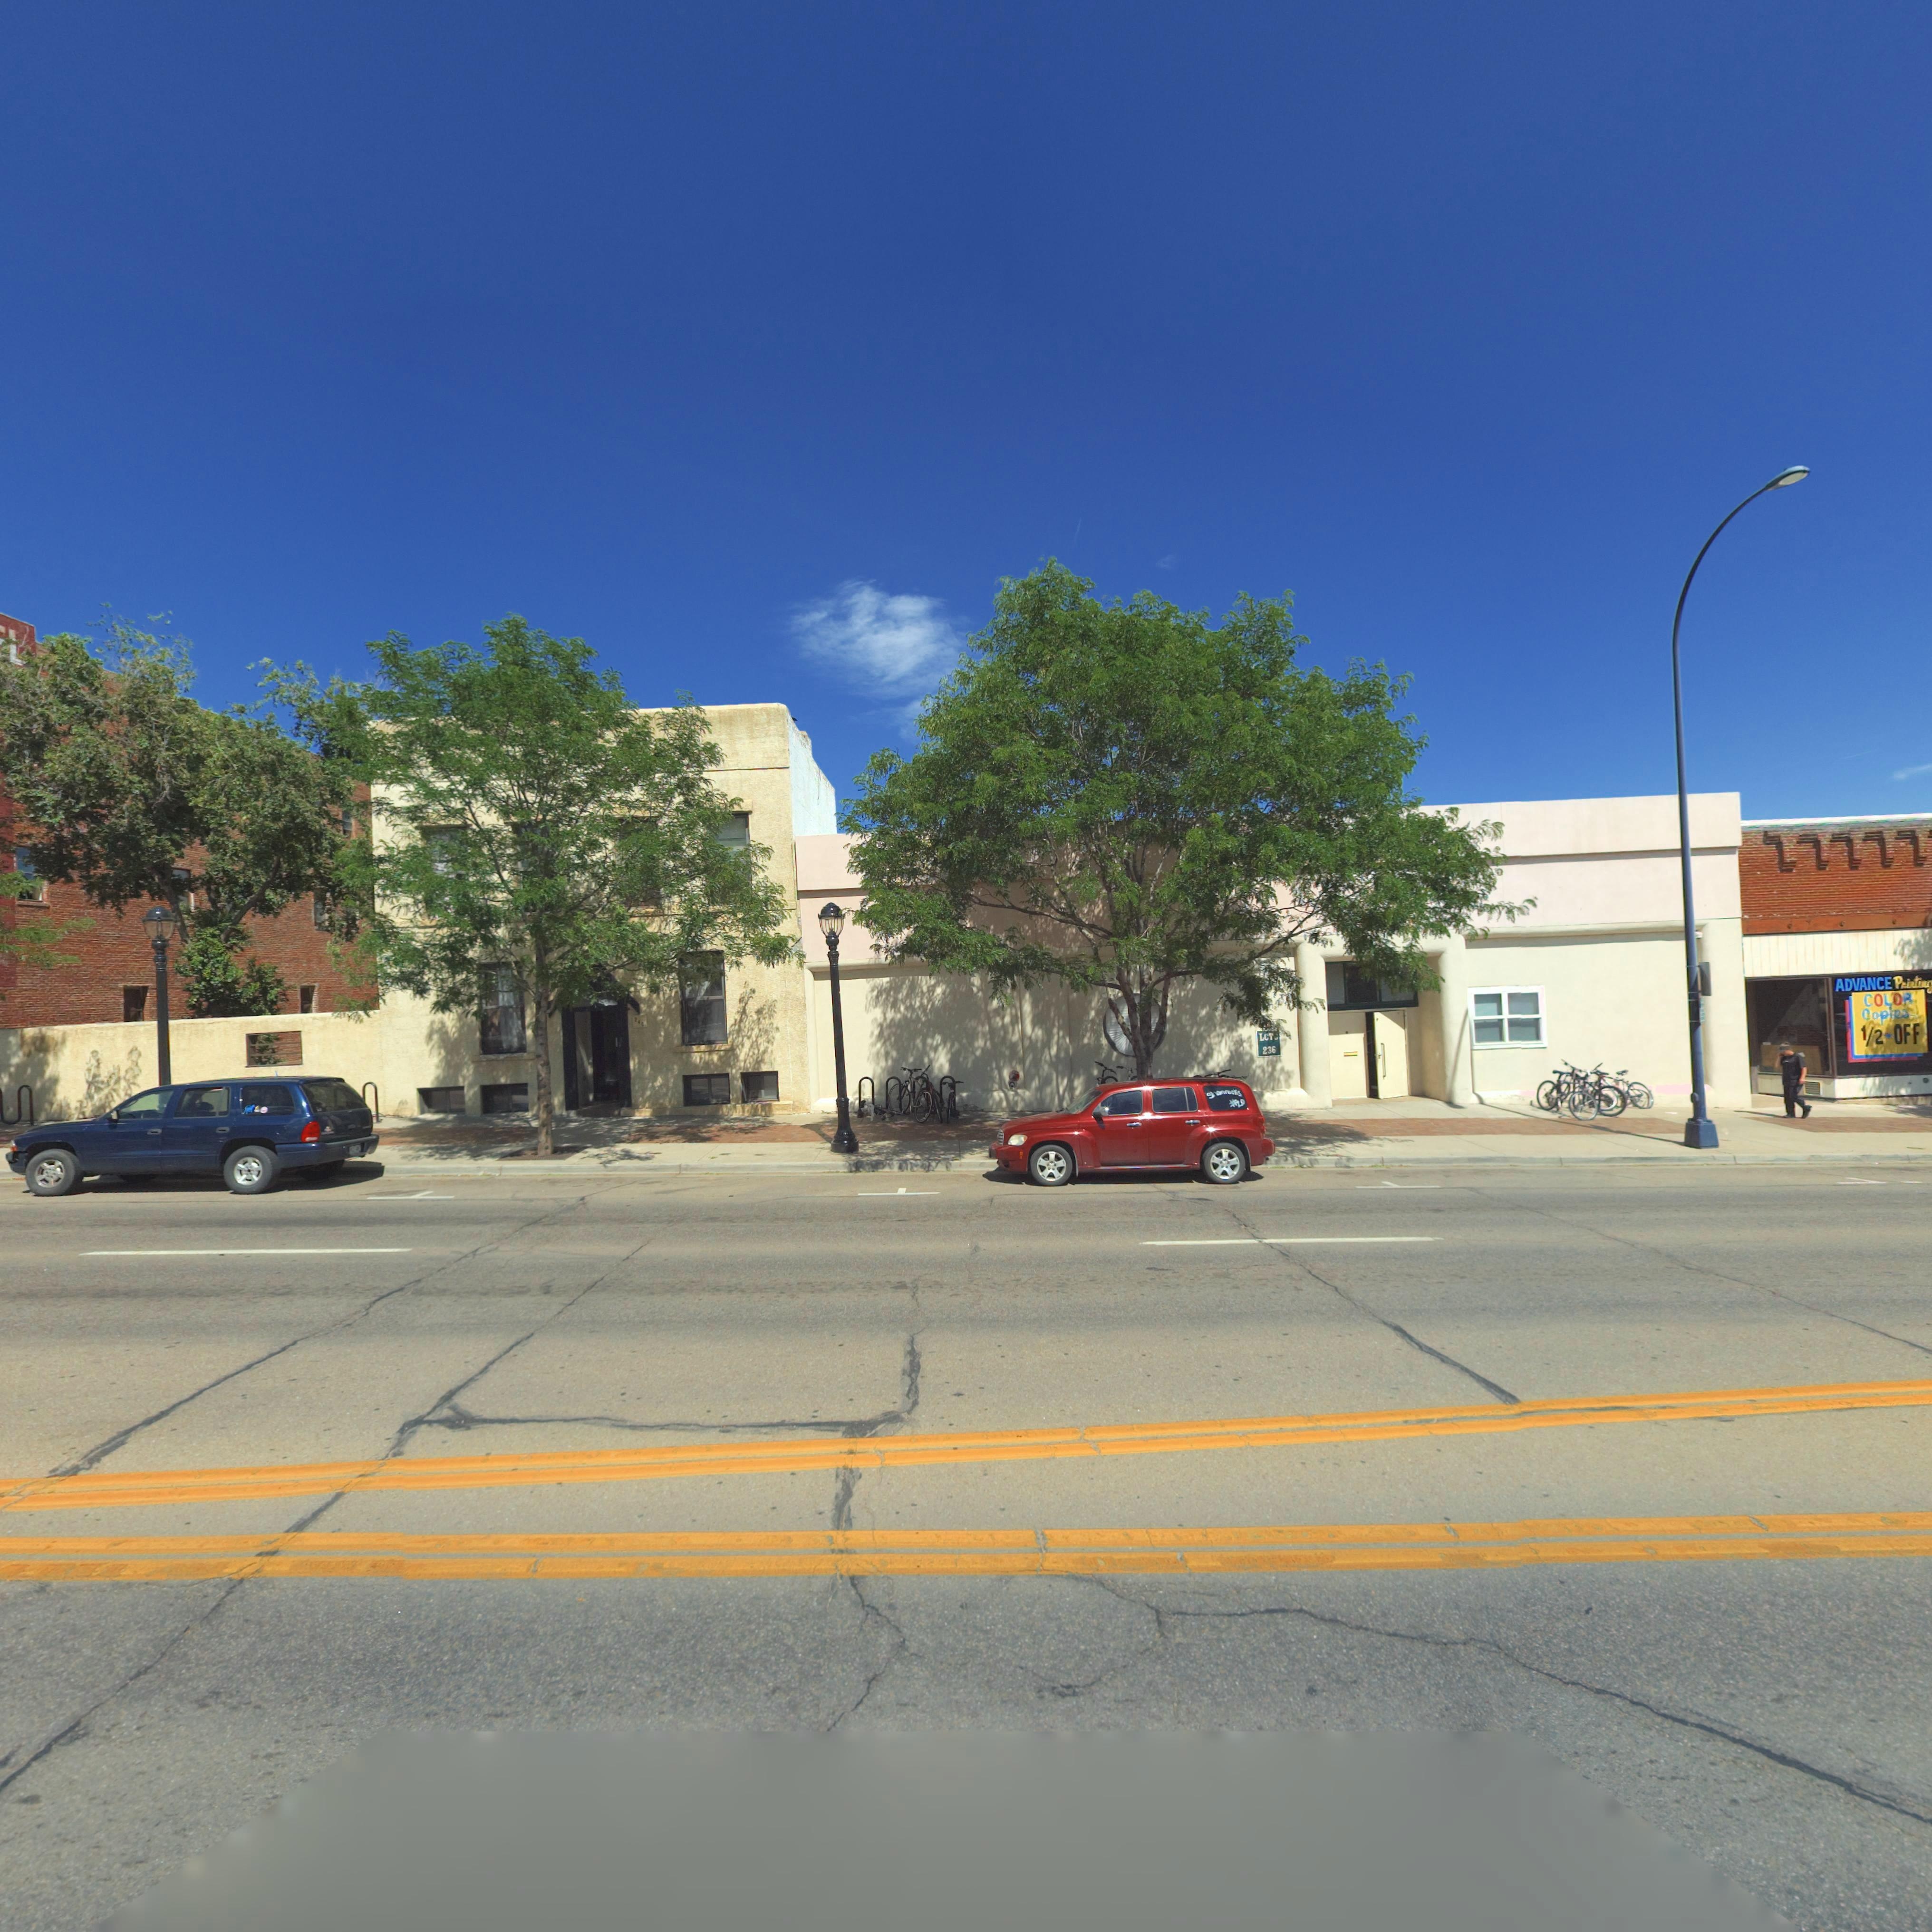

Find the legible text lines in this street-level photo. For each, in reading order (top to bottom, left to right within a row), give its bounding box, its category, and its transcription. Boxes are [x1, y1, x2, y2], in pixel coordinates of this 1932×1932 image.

[1835, 975, 1932, 995] None: ADVANCE Printing
[634, 1016, 644, 1026] StreetNumber: 240
[1262, 1045, 1276, 1055] StreetNumber: 236